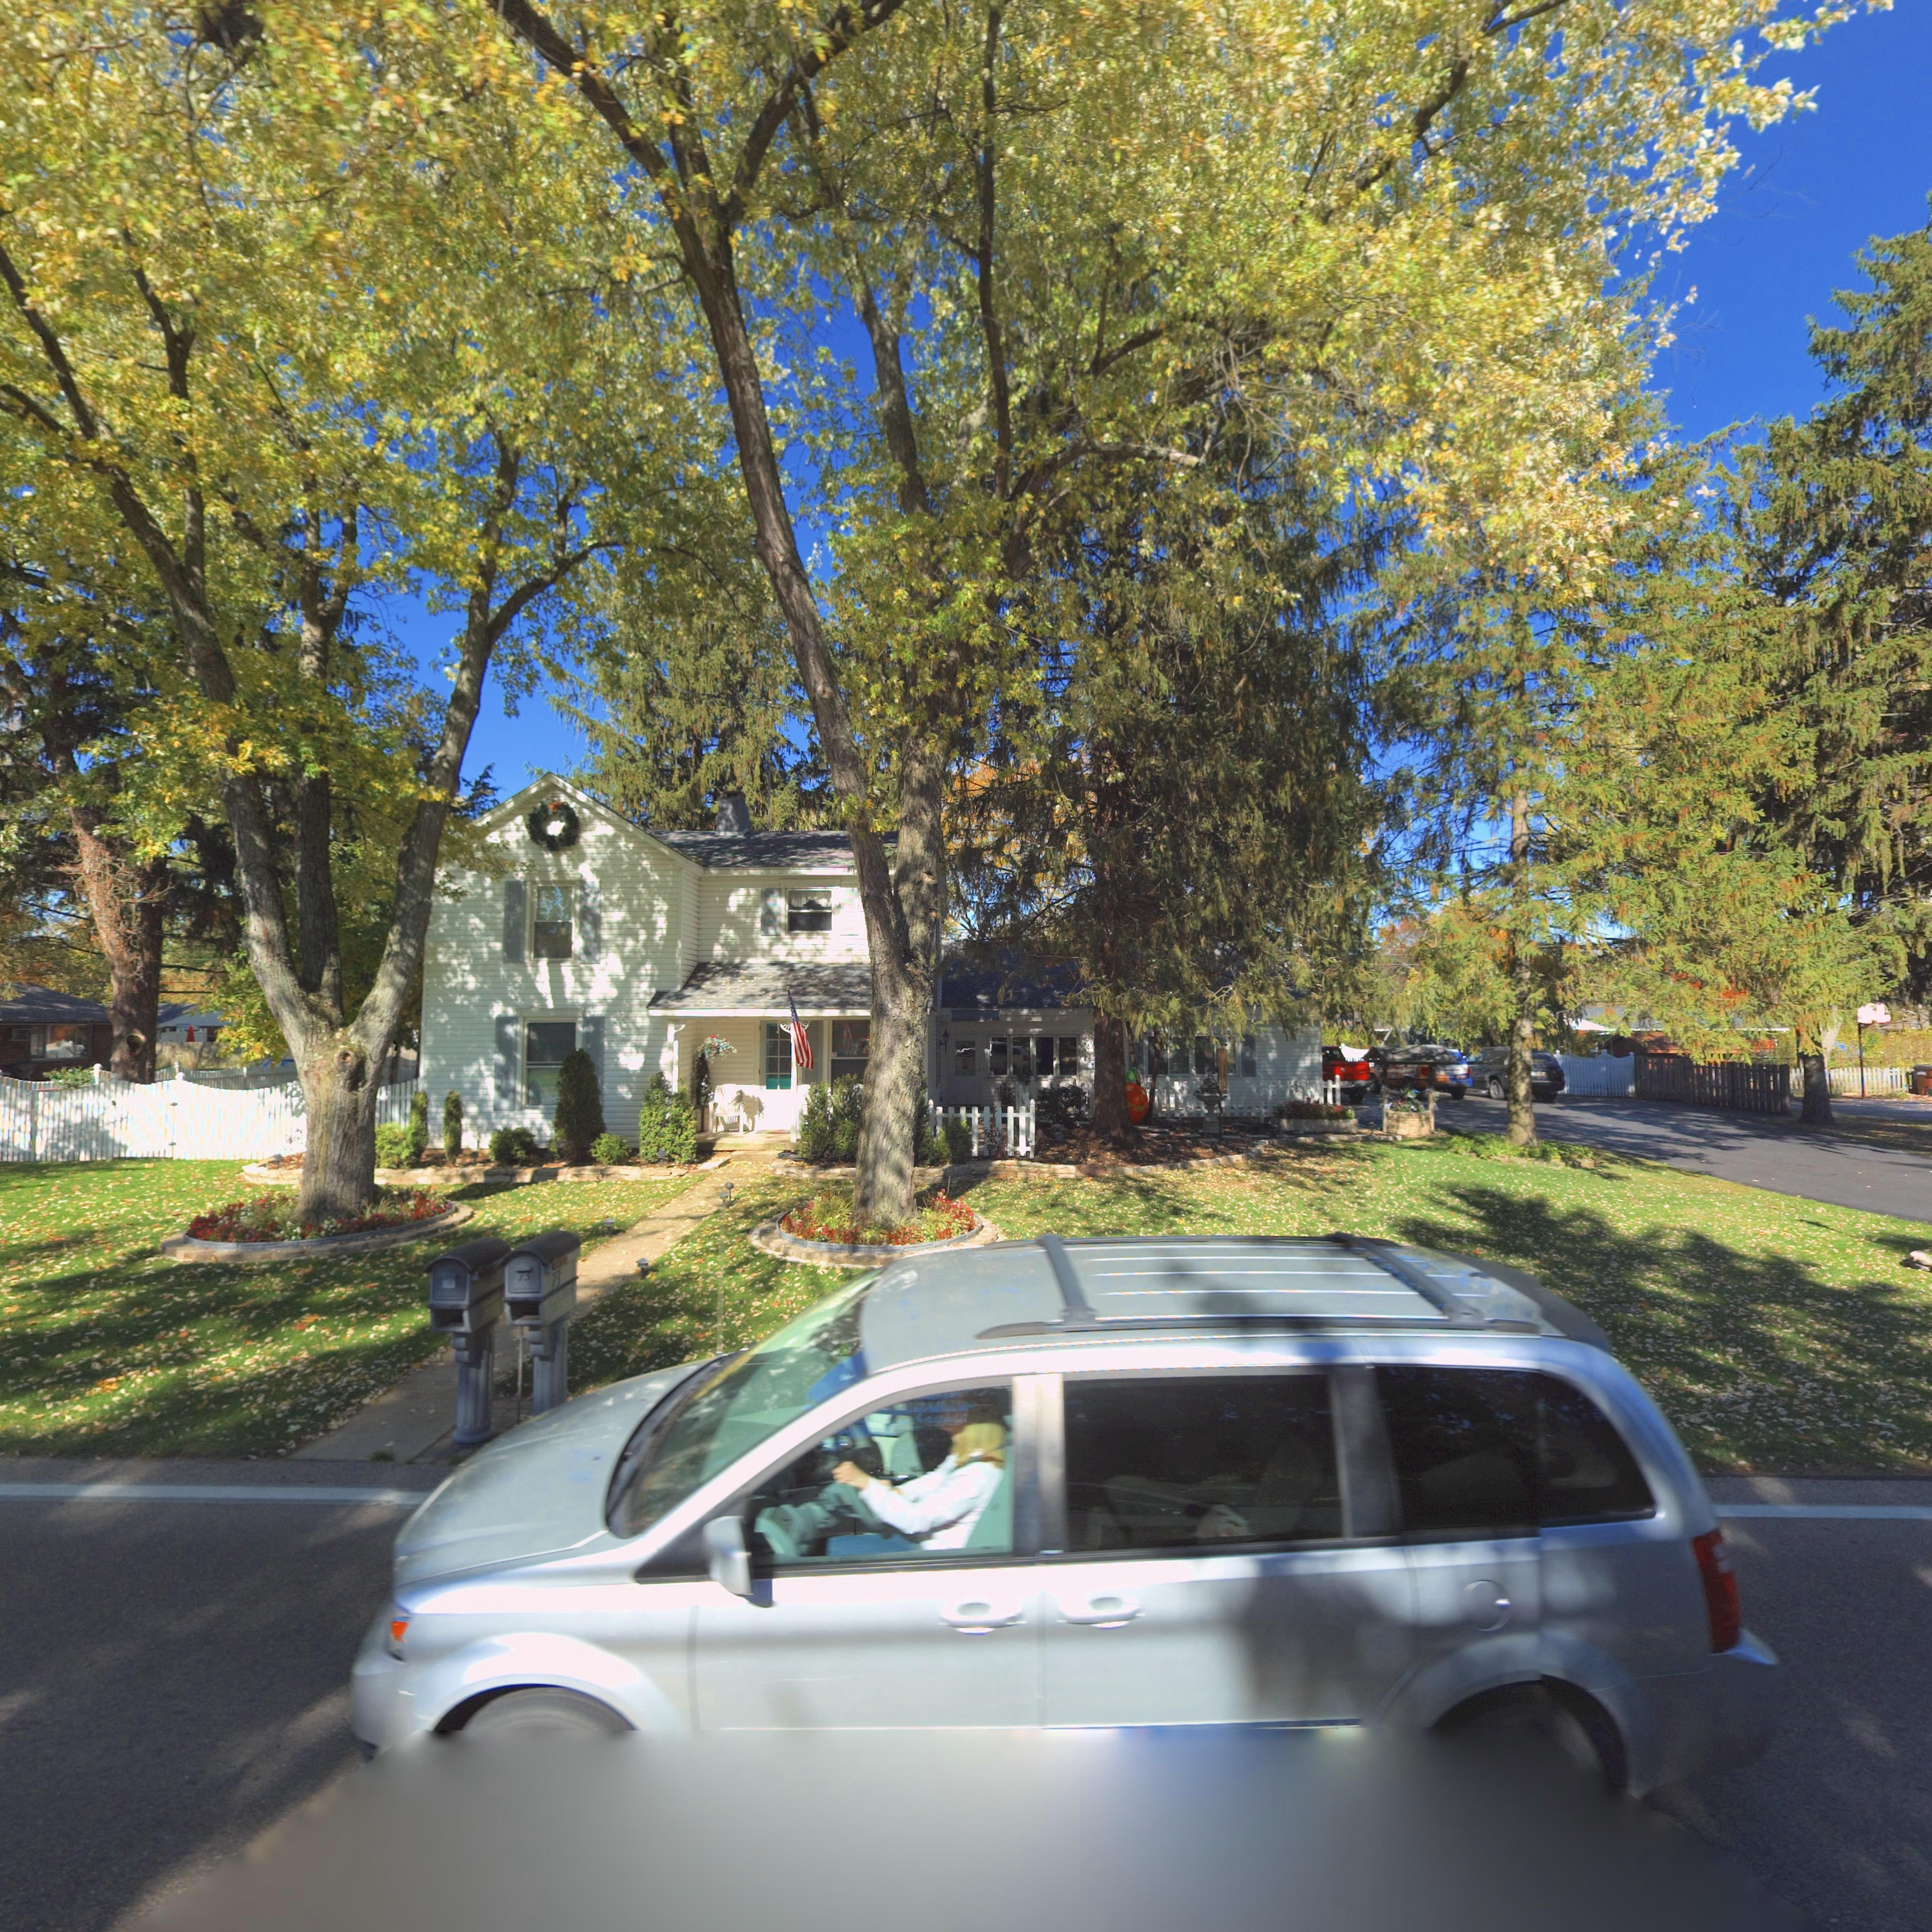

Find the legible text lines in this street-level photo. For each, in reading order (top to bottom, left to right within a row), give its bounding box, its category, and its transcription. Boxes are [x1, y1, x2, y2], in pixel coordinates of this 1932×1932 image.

[516, 1271, 531, 1283] StreetNumber: 73
[551, 1268, 562, 1292] StreetNumber: 73